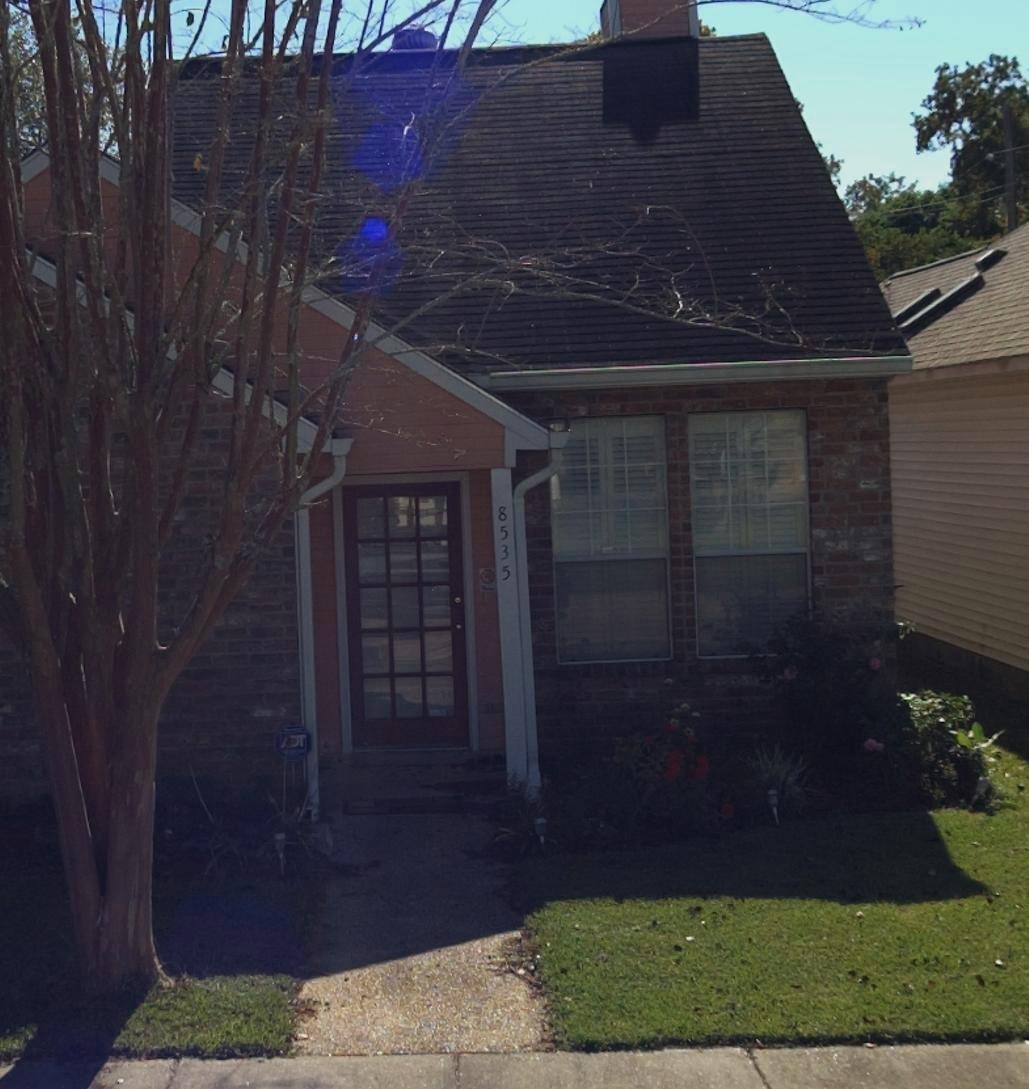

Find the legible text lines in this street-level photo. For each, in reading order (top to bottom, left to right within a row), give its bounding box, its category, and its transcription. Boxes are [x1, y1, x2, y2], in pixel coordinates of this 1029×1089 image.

[497, 506, 512, 583] StreetNumber: 8535
[279, 734, 305, 749] None: **T